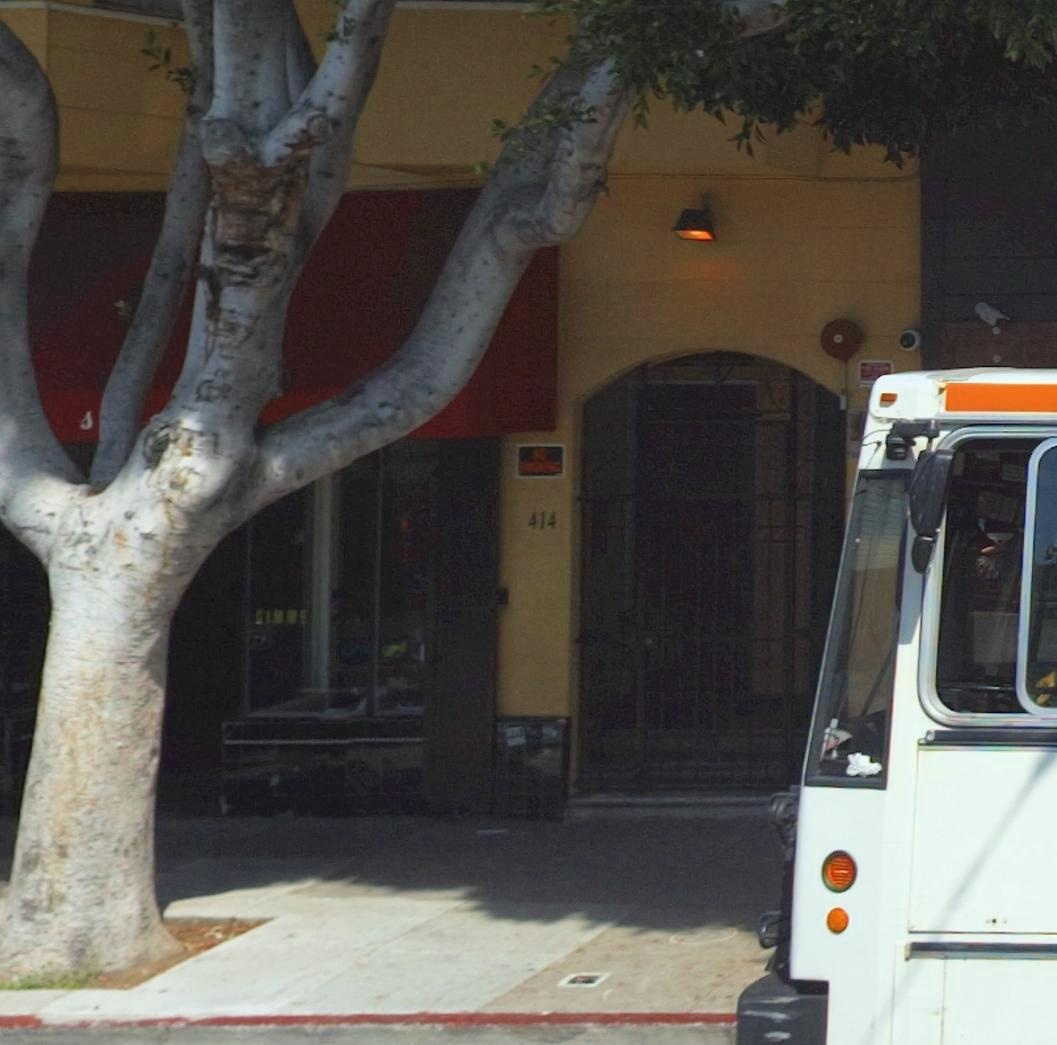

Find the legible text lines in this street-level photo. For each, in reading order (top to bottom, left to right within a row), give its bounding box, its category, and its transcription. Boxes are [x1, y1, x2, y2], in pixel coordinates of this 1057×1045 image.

[528, 510, 558, 531] StreetNumber: 414